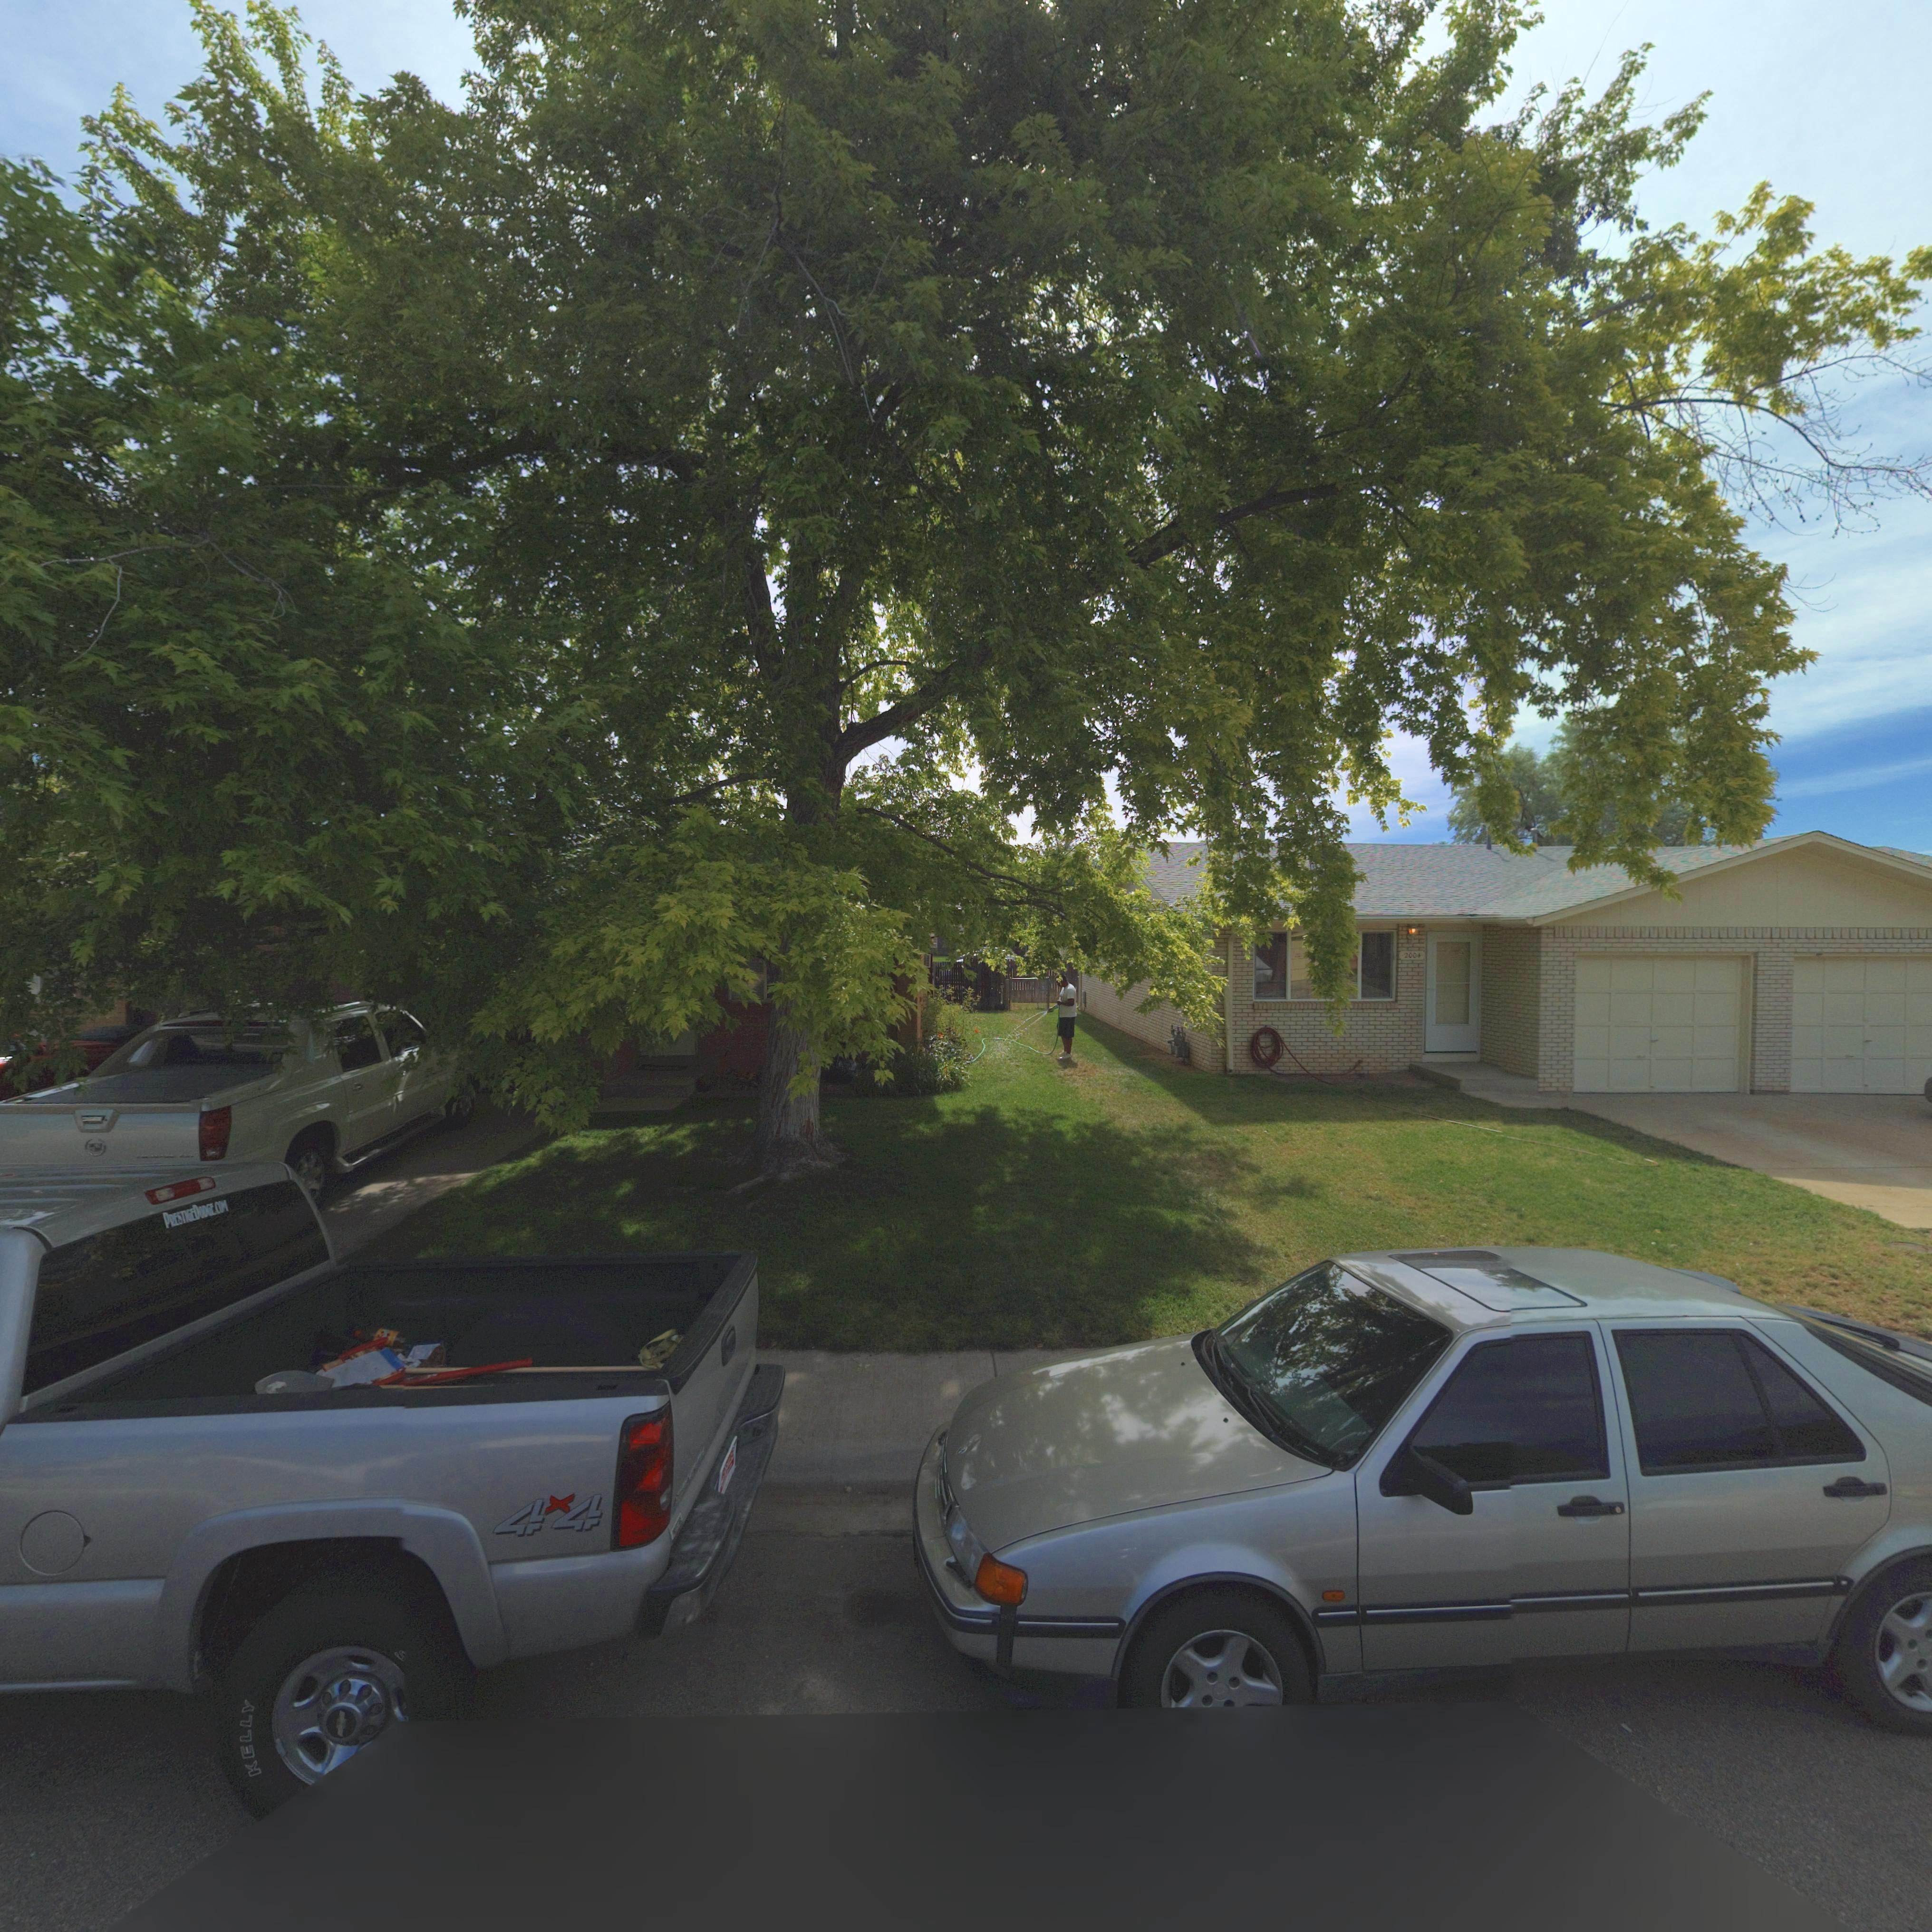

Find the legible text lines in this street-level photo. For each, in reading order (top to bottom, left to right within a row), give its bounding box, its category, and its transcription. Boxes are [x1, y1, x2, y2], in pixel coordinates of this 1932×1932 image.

[1404, 952, 1421, 958] StreetNumber: 2004